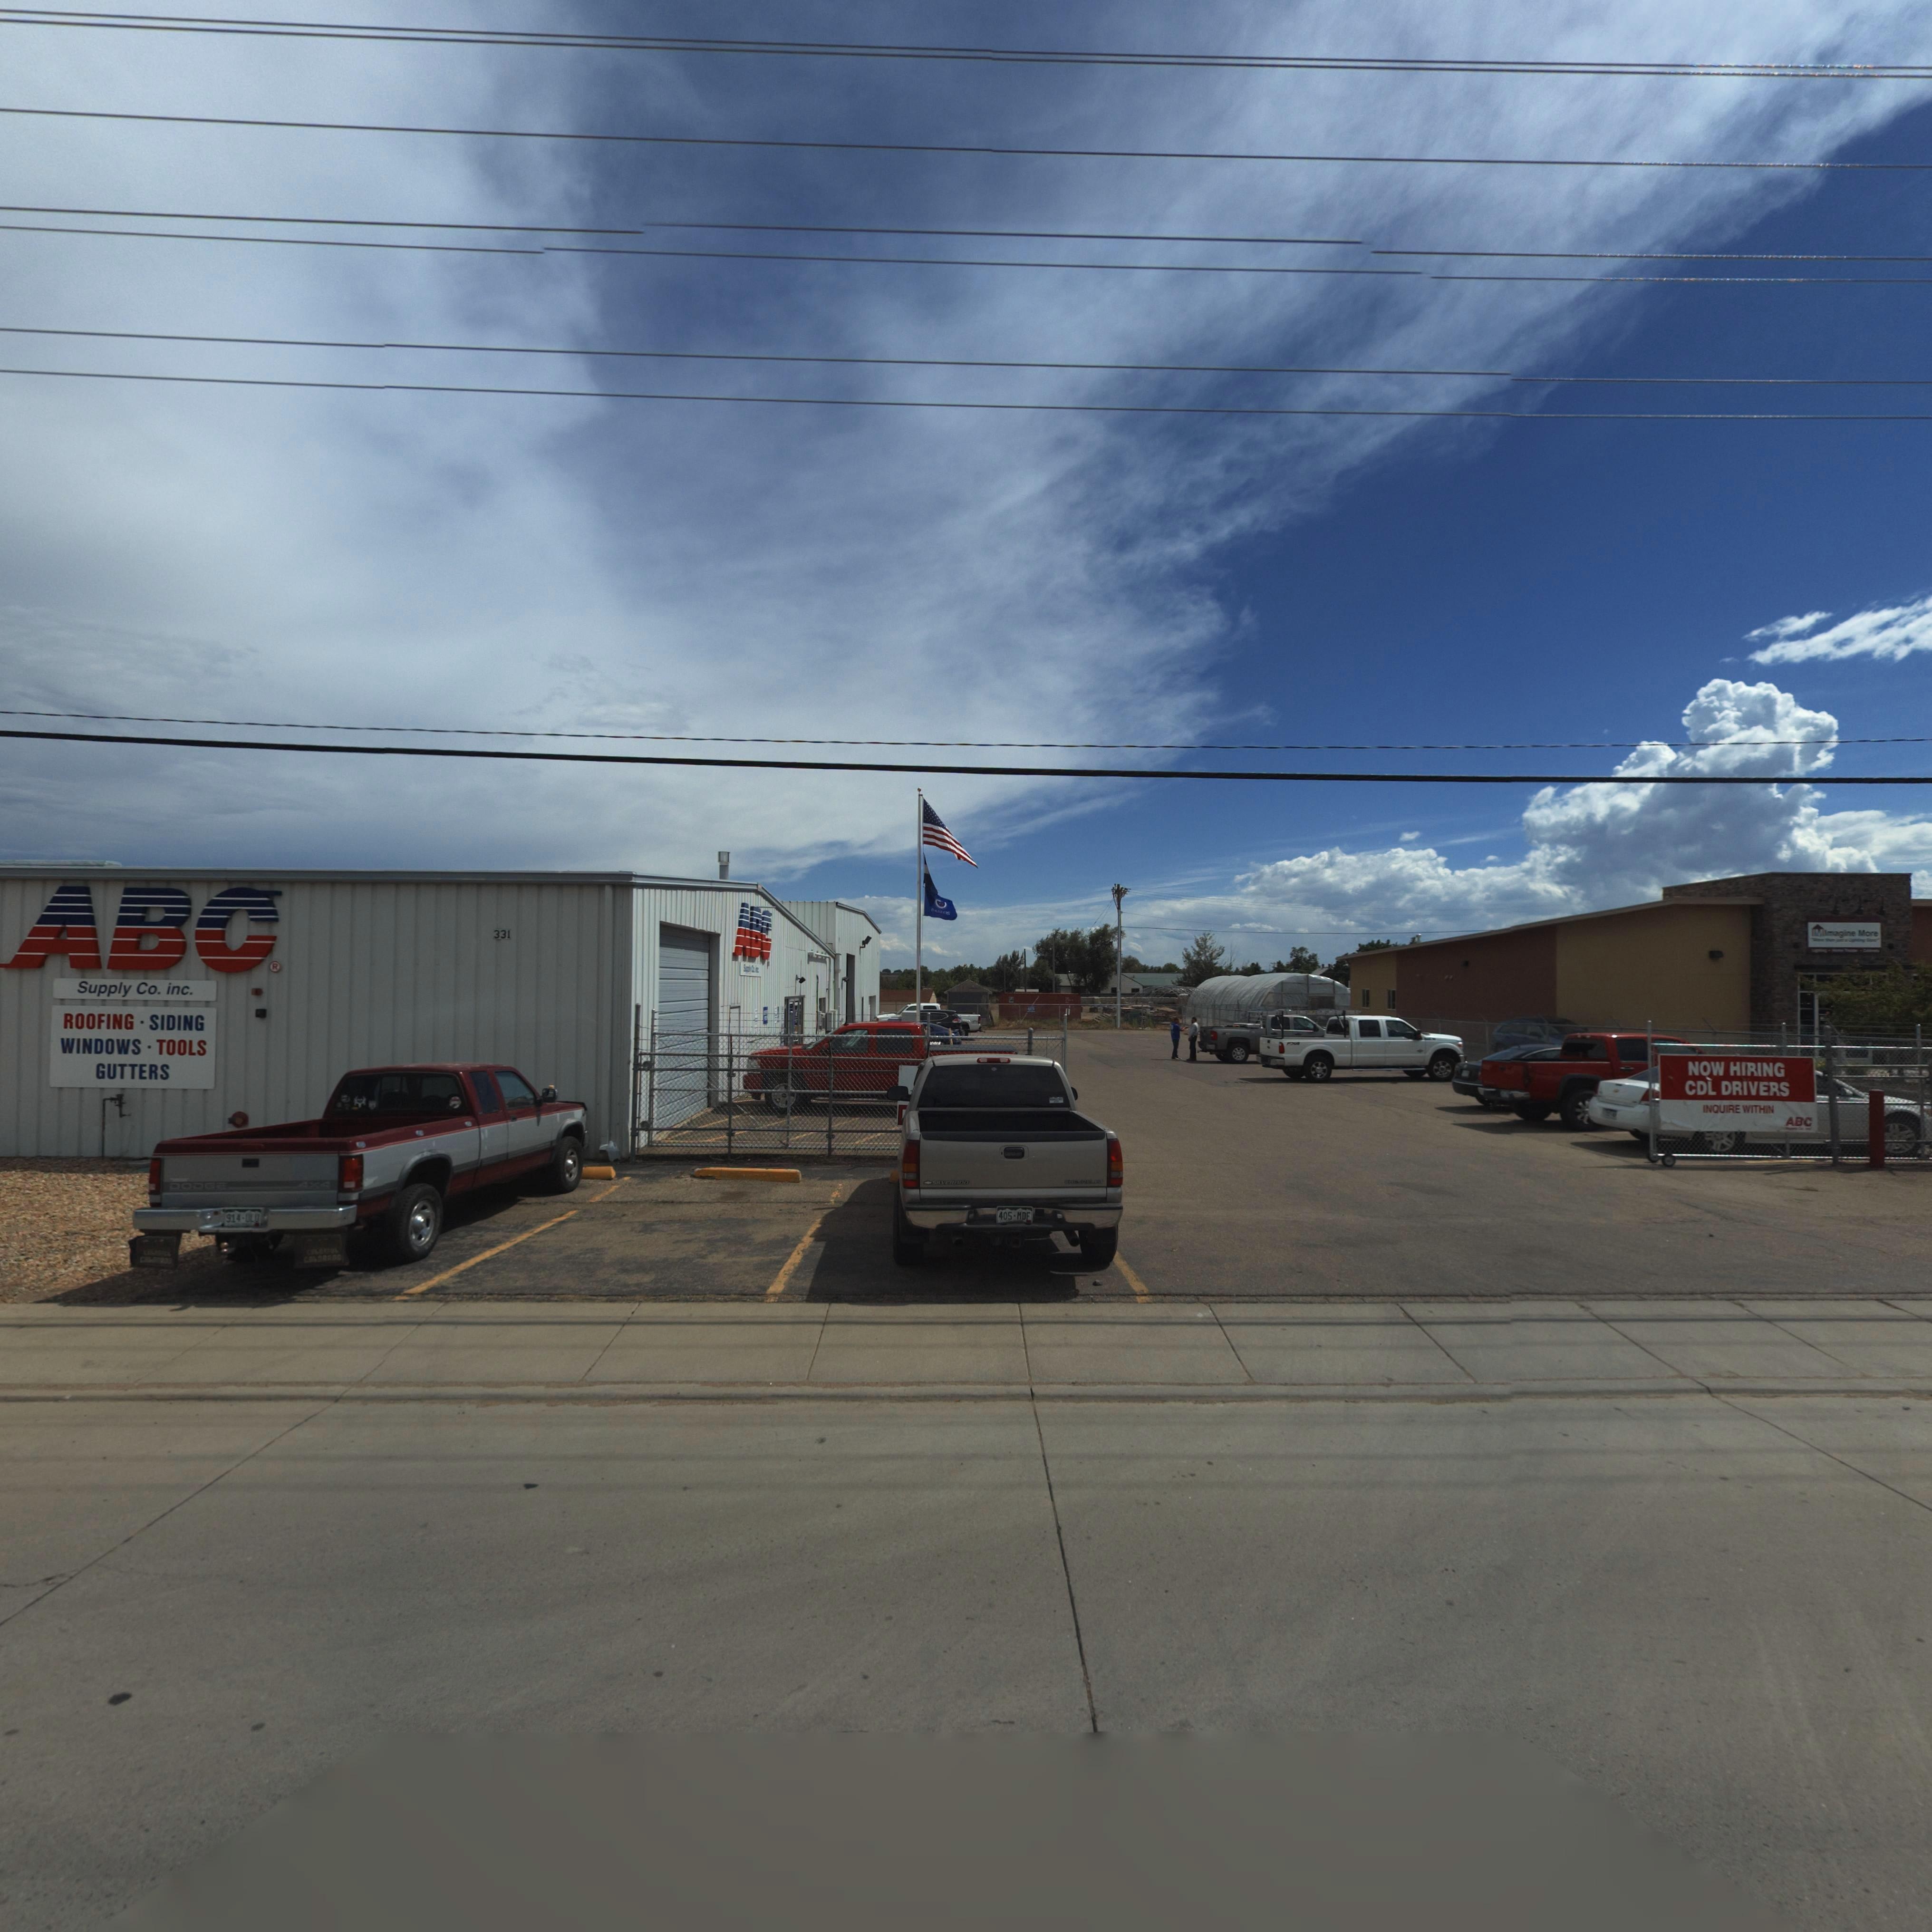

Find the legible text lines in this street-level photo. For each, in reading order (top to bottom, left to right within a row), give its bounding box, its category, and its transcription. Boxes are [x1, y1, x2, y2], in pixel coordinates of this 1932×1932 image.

[4, 884, 281, 976] BusinessName: ABC
[493, 929, 510, 938] StreetNumber: 331
[732, 901, 773, 962] BusinessName: ABC
[1812, 928, 1824, 937] BusinessName: IM
[1824, 929, 1879, 937] BusinessName: Imagin More
[743, 964, 759, 974] BusinessName: S***l* C* **c
[77, 980, 193, 998] BusinessName: Supply Co. inc.
[1784, 1116, 1813, 1127] BusinessName: ABC